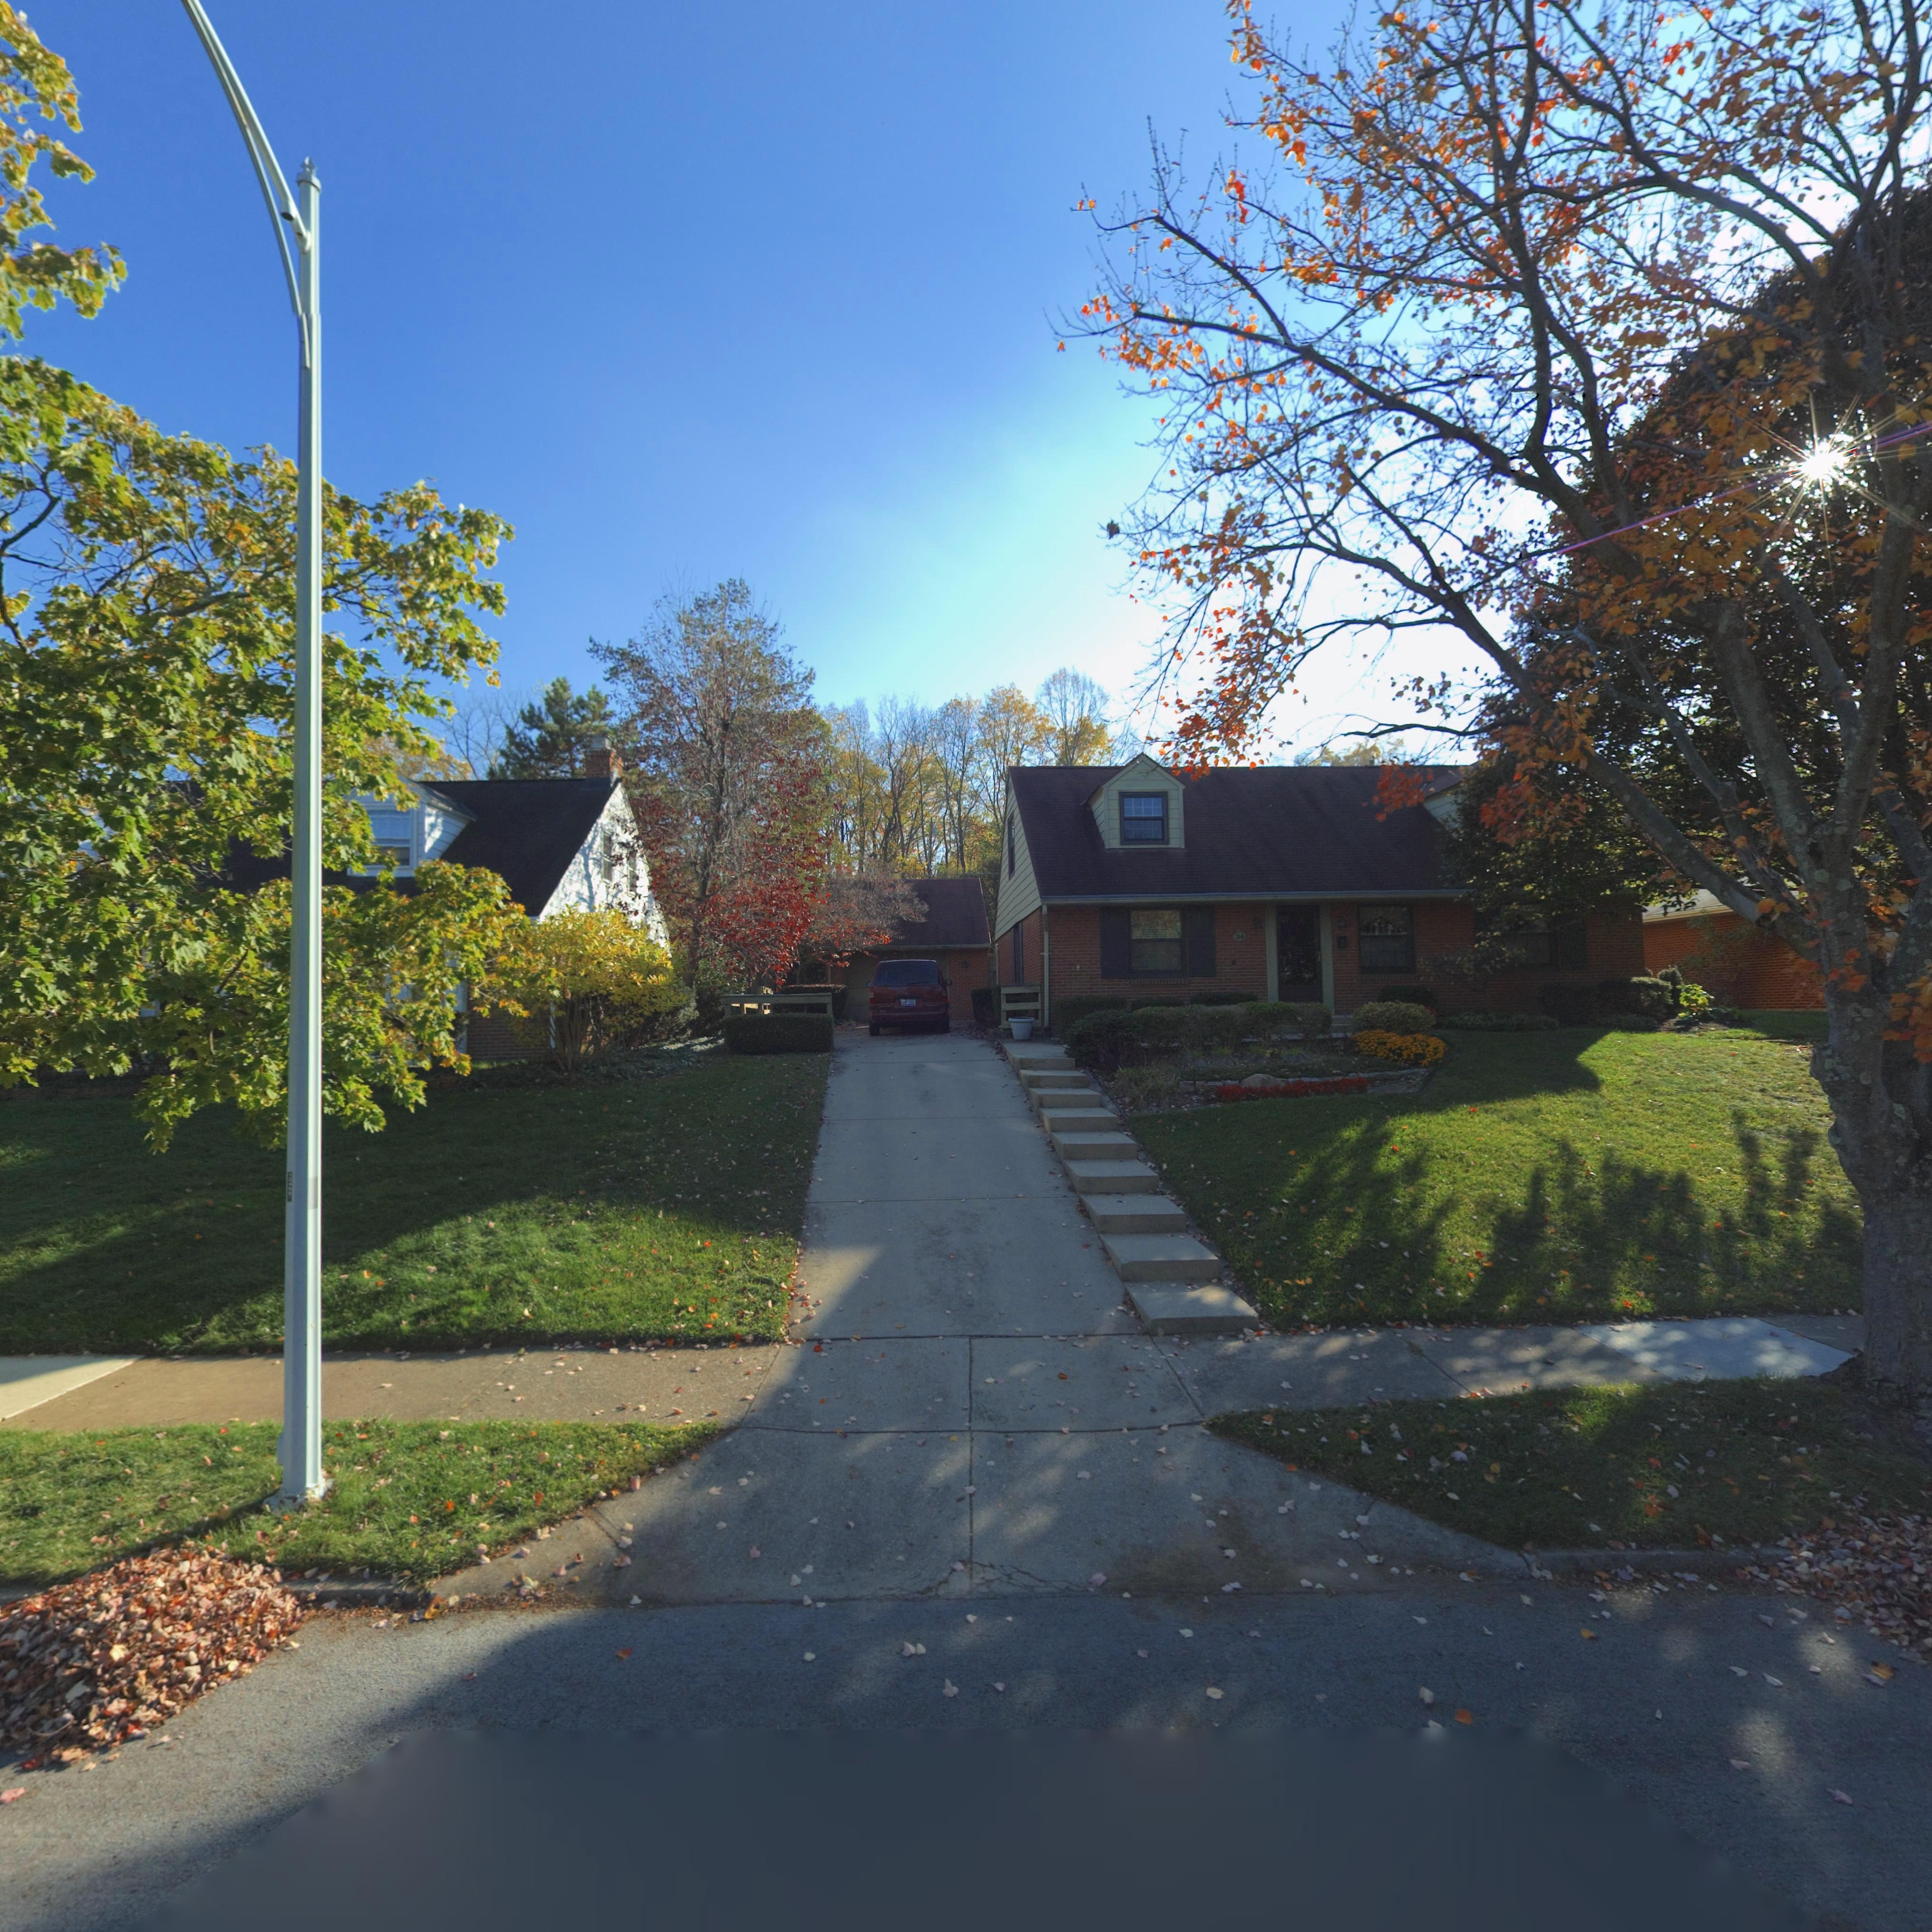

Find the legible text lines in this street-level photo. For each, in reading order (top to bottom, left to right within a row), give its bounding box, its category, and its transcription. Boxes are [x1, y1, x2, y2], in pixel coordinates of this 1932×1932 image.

[1234, 934, 1245, 940] StreetNumber: 34